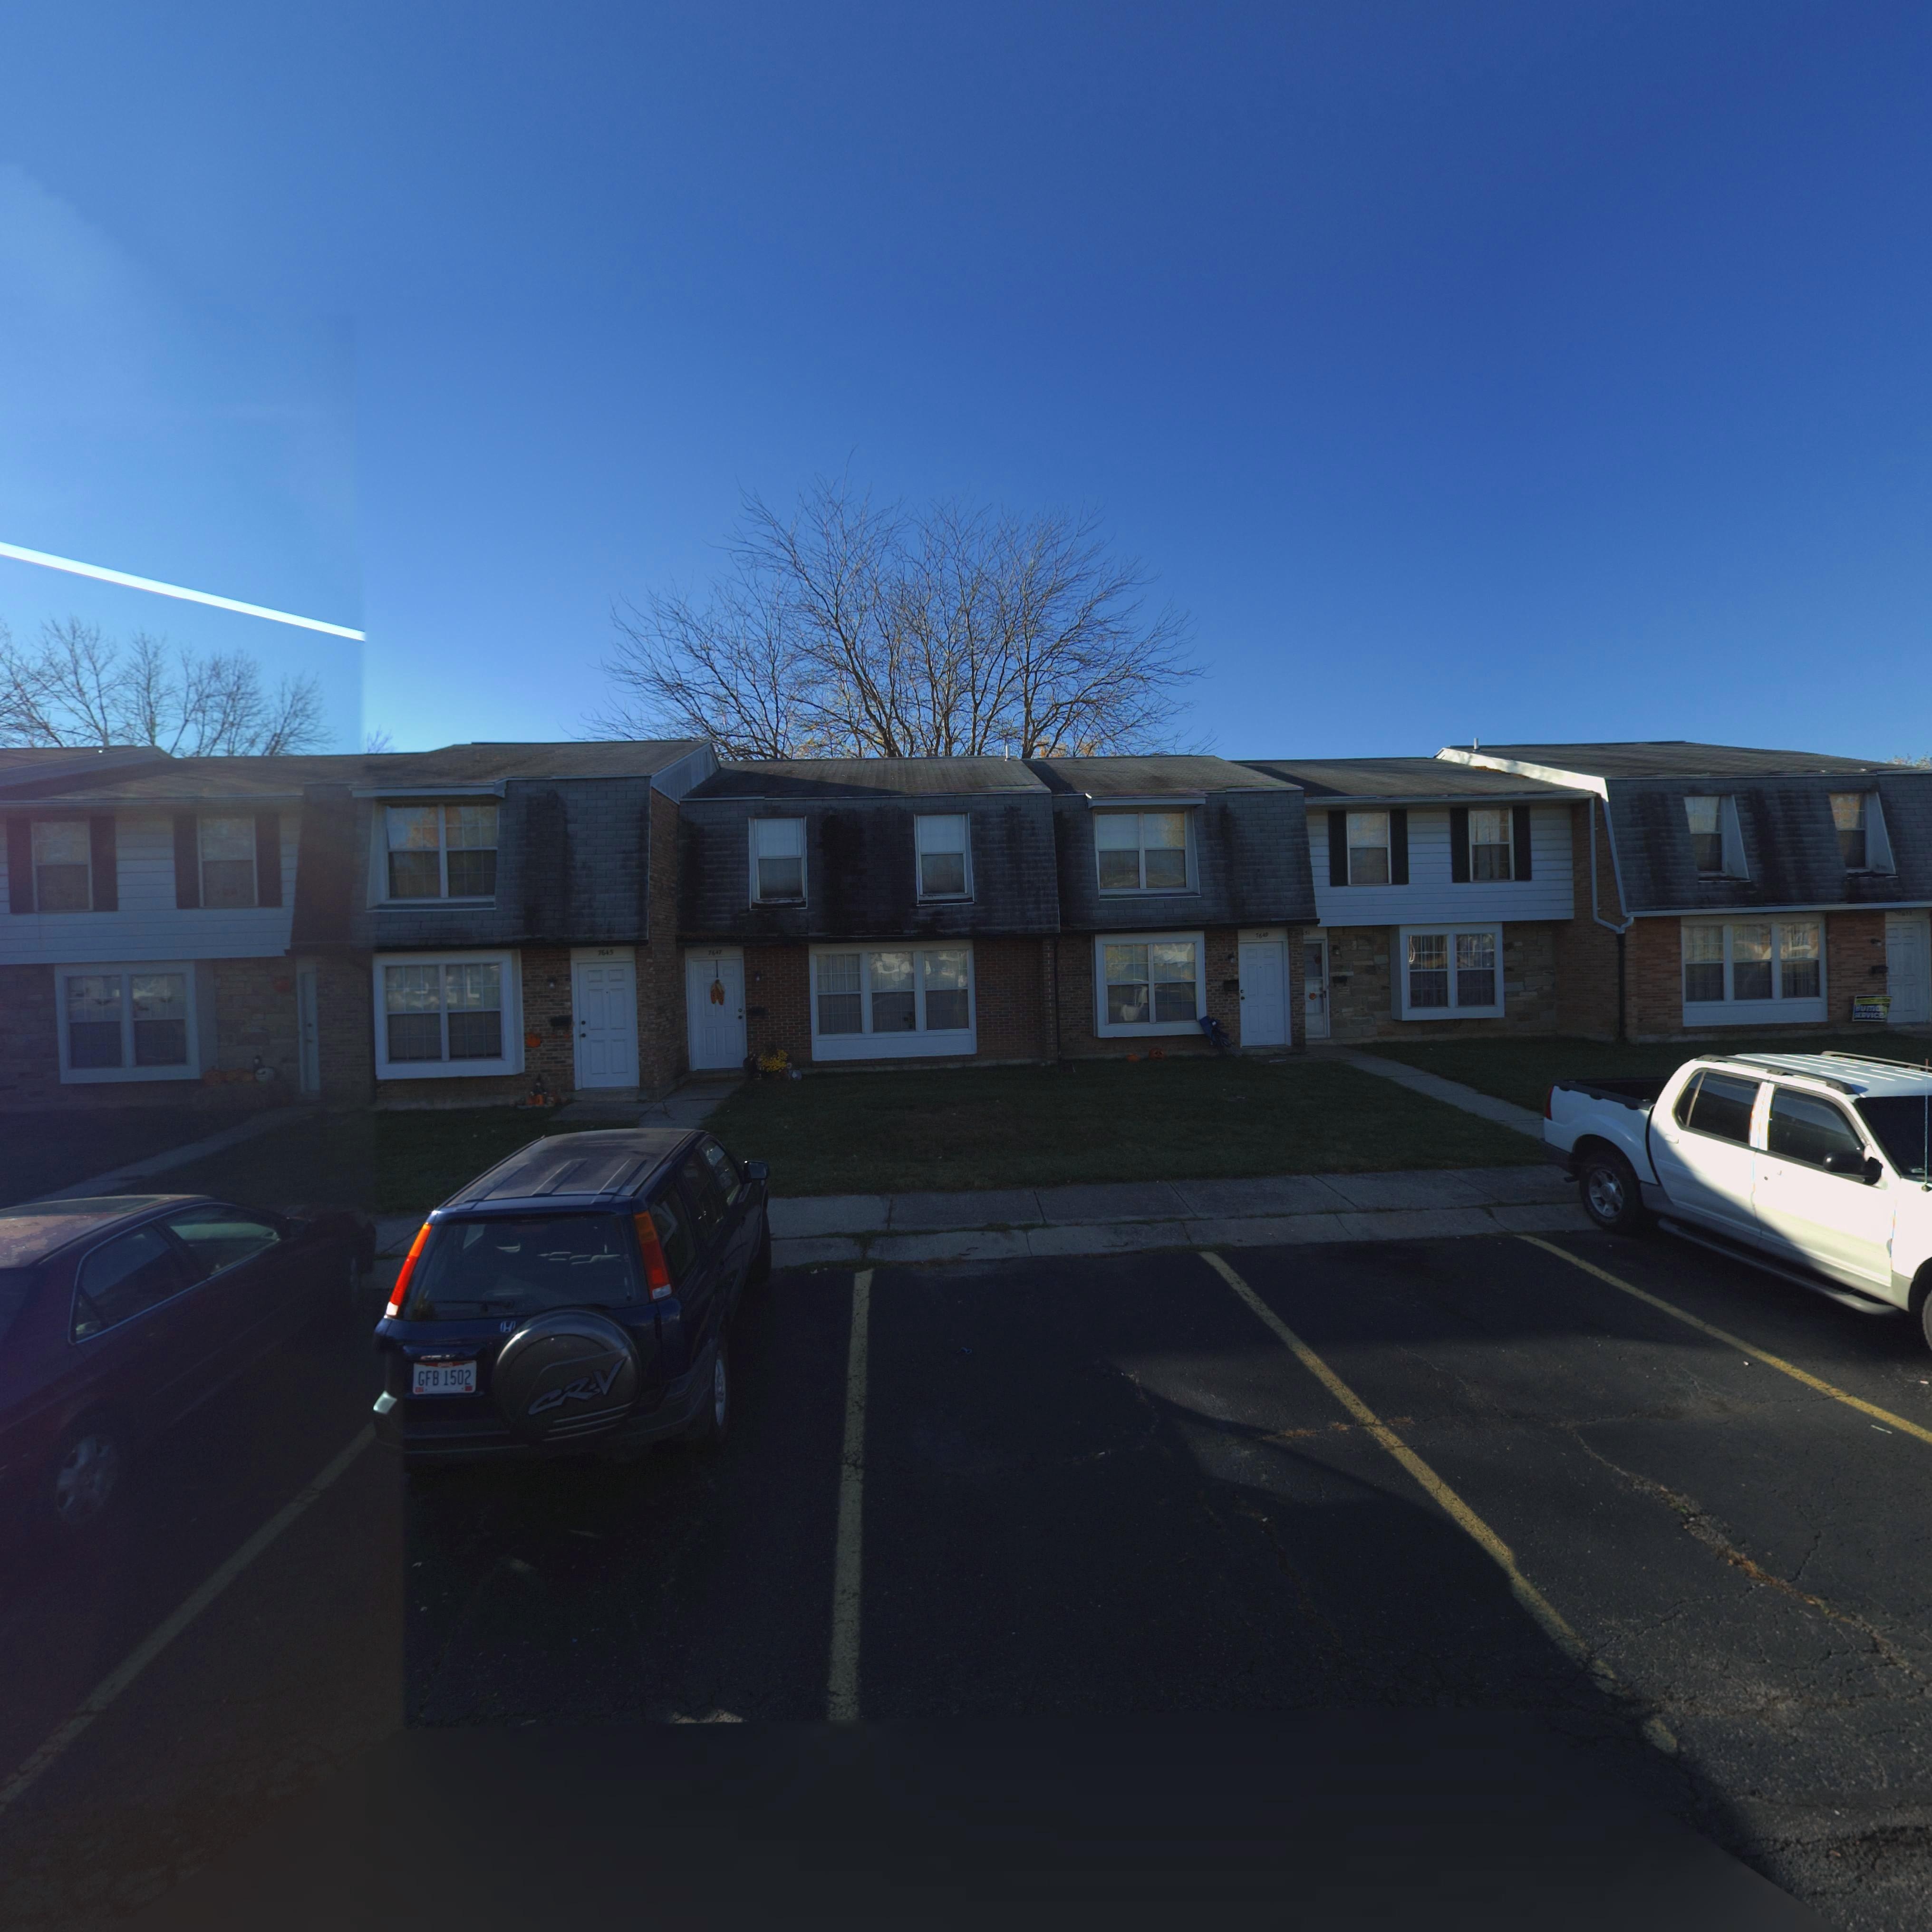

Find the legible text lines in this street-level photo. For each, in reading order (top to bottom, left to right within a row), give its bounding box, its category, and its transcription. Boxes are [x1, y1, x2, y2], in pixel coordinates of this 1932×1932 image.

[1897, 910, 1913, 917] StreetNumber: *653
[1255, 931, 1269, 939] StreetNumber: 7649
[1304, 929, 1311, 936] StreetNumber: 51
[597, 948, 615, 956] StreetNumber: 7645
[707, 949, 723, 956] StreetNumber: 7647